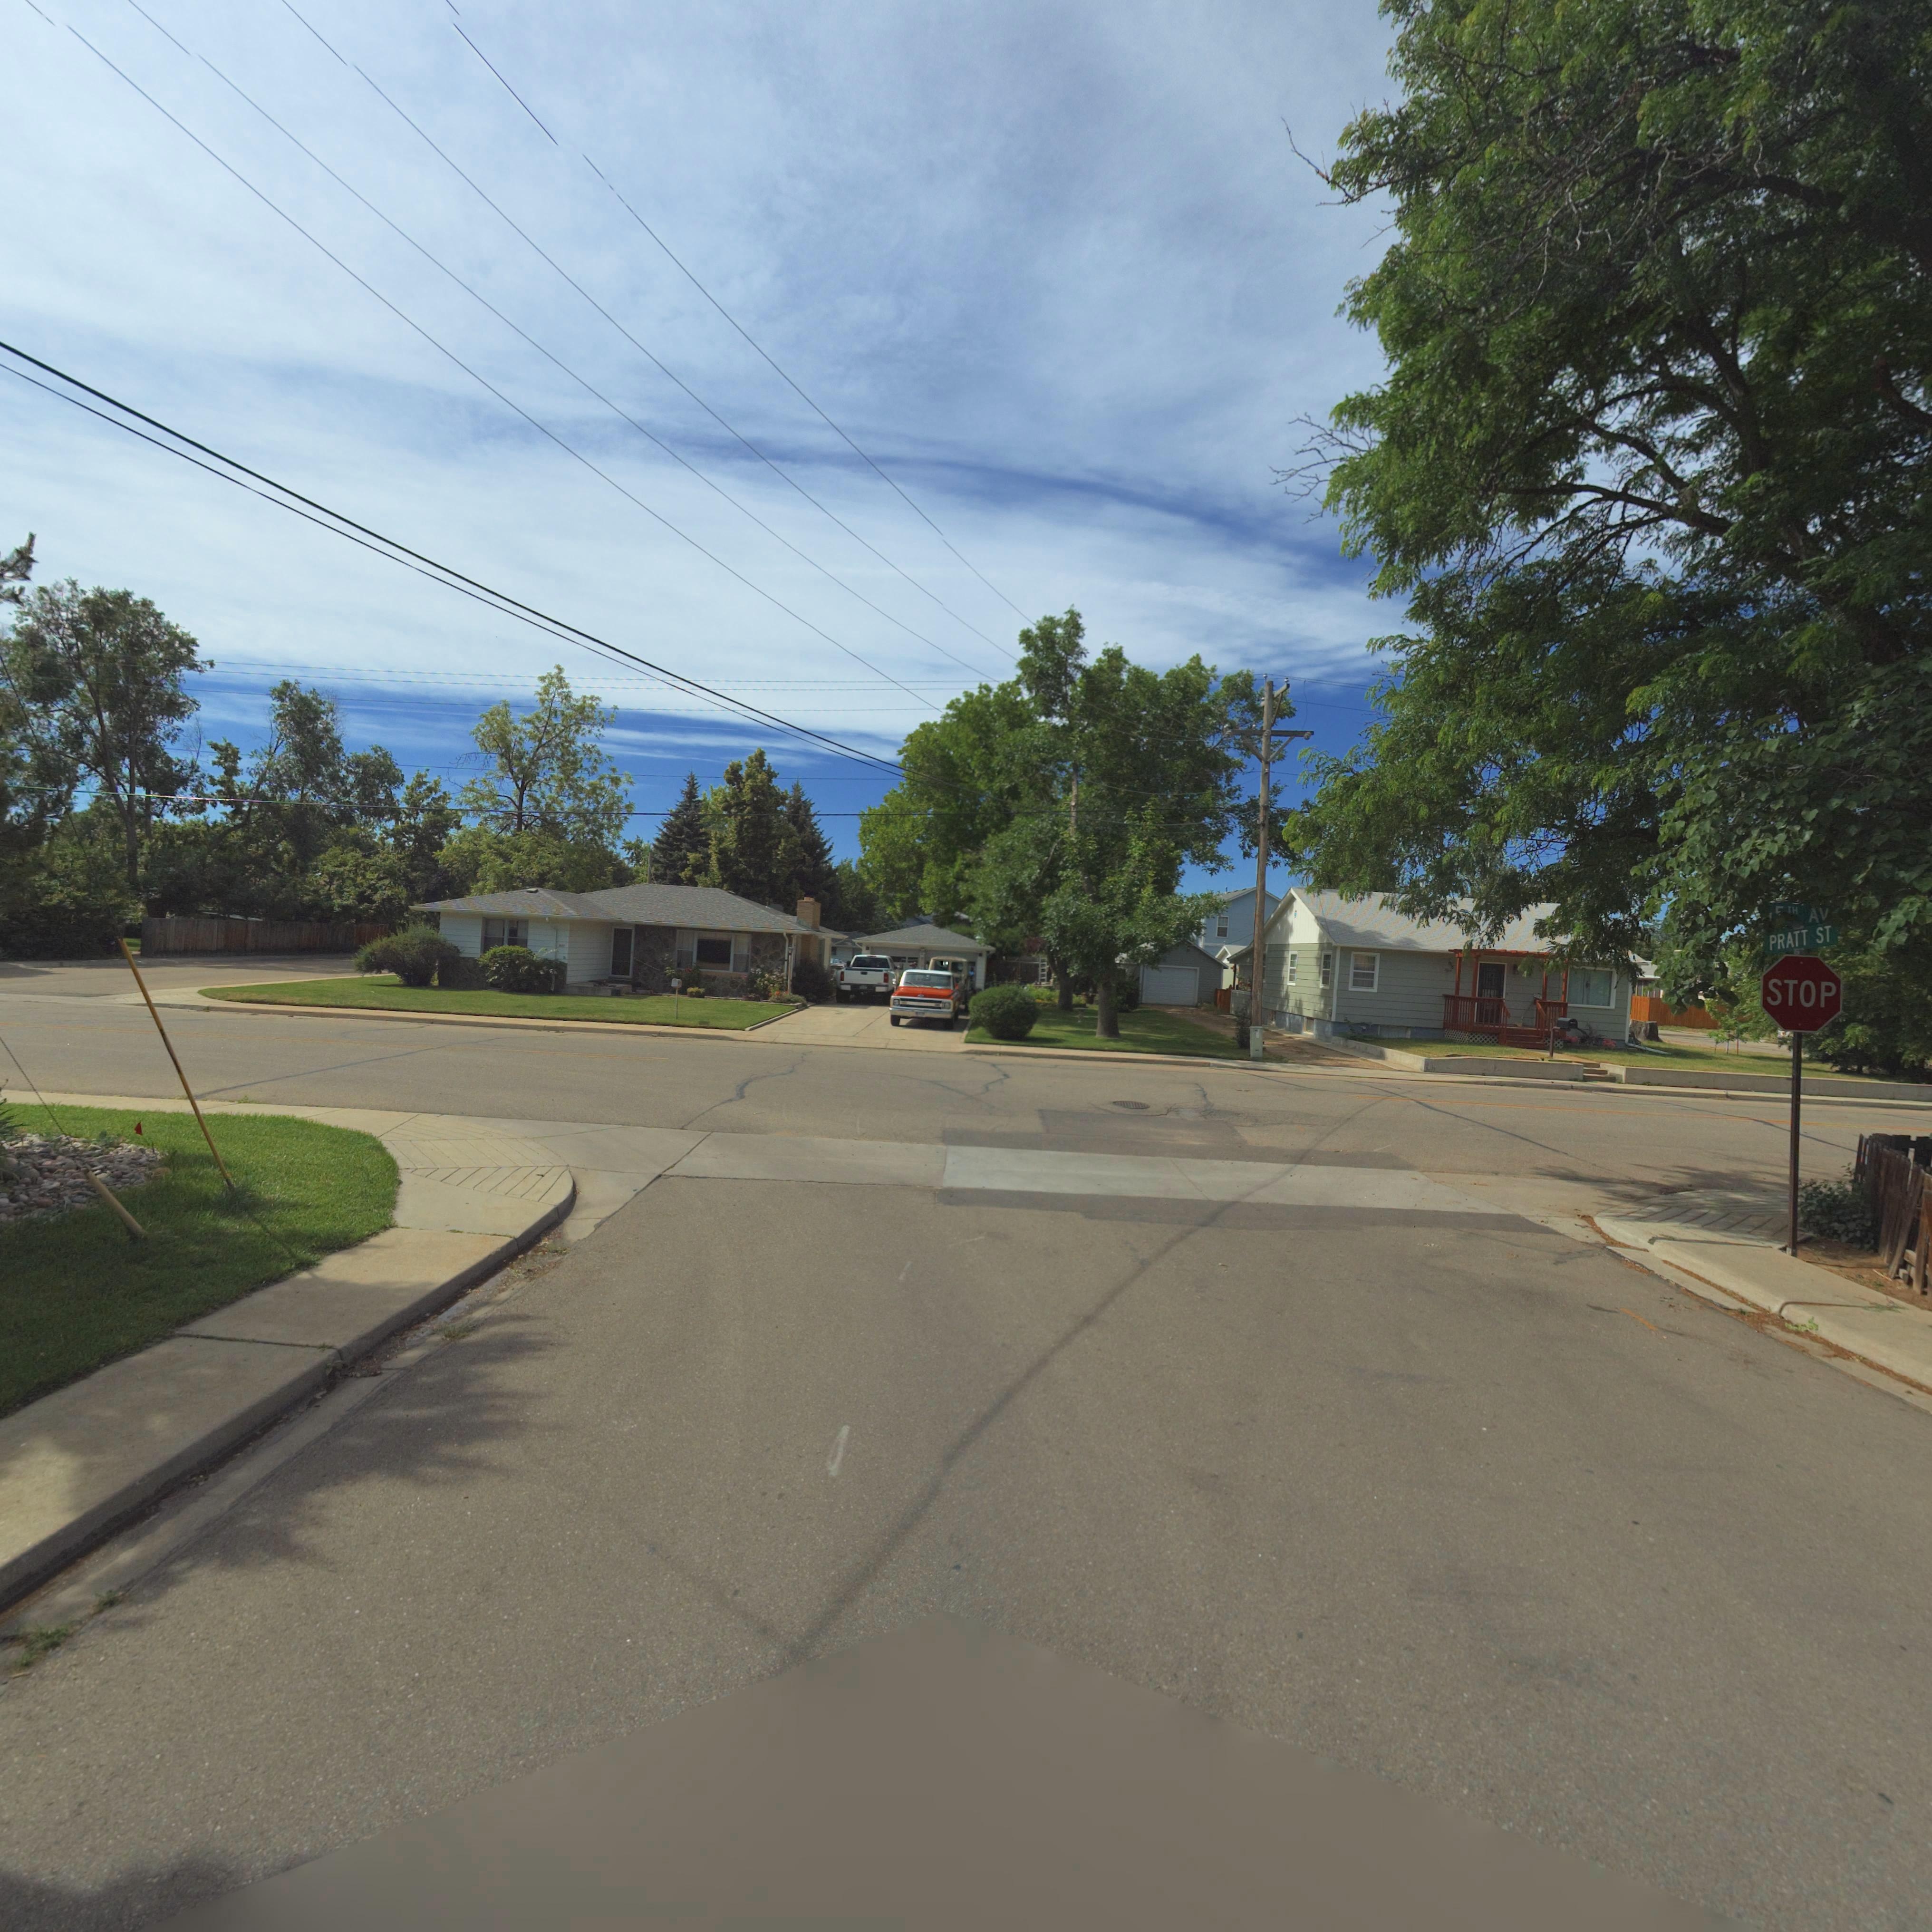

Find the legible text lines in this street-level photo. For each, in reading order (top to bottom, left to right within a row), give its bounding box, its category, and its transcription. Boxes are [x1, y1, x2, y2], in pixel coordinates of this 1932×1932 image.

[1767, 904, 1830, 923] StreetName: **TH AV
[1768, 925, 1832, 951] StreetName: PRATT ST